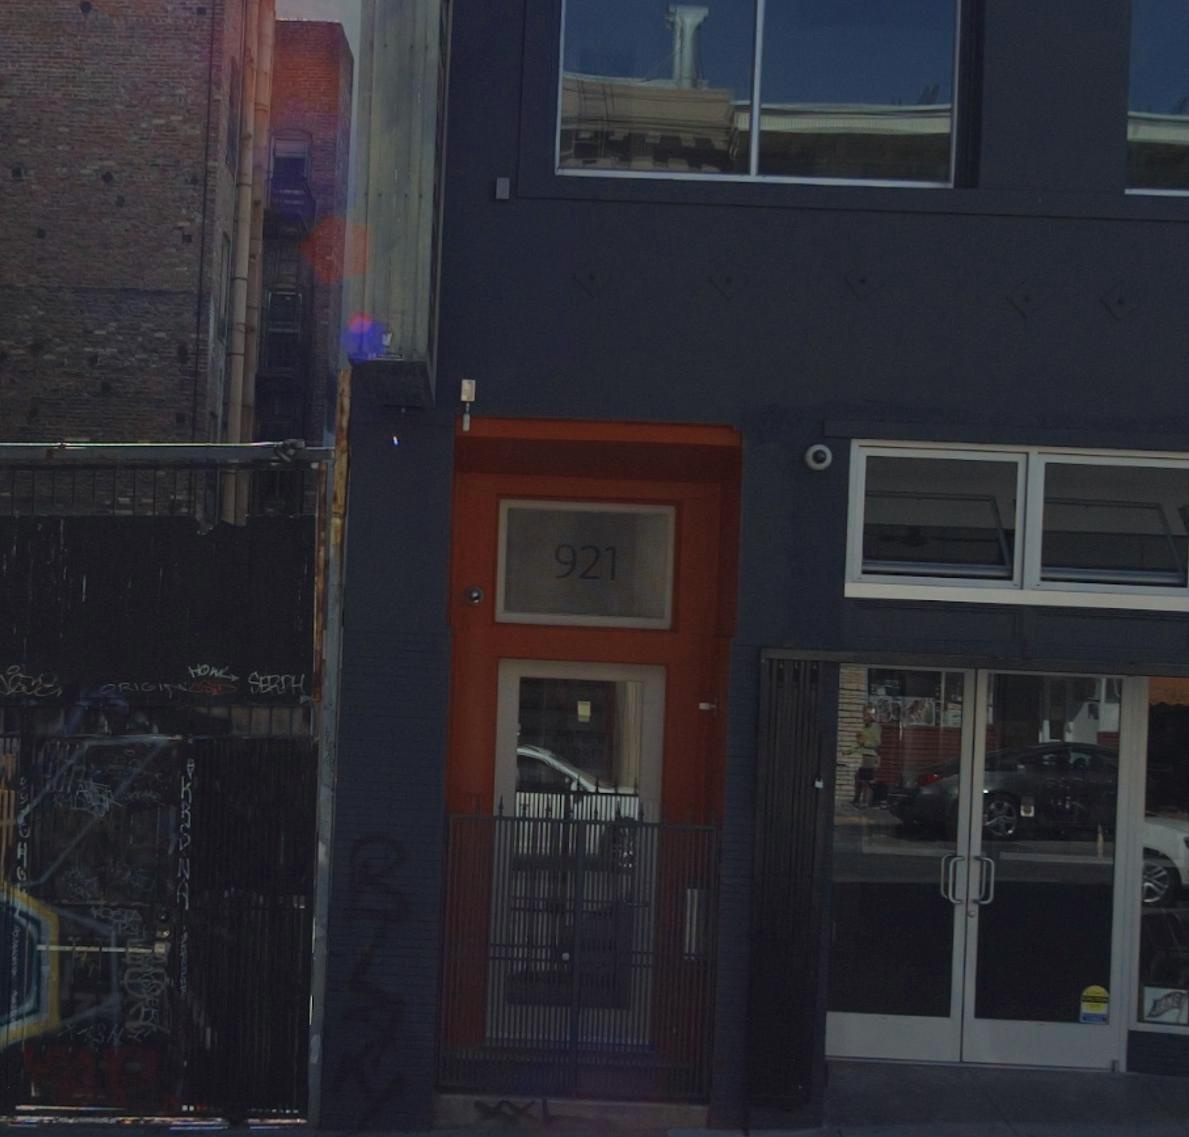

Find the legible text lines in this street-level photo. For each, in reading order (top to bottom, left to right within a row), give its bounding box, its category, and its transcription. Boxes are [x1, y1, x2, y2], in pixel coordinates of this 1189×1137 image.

[552, 541, 617, 582] StreetNumber: 921
[97, 678, 239, 700] None: ORIGIN*SD
[184, 662, 232, 680] None: HOW
[245, 669, 308, 698] None: SERPH
[15, 840, 29, 870] None: H
[174, 774, 194, 913] None: KRS NA
[328, 826, 410, 1131] None: BLAH
[468, 1096, 564, 1128] None: XXL